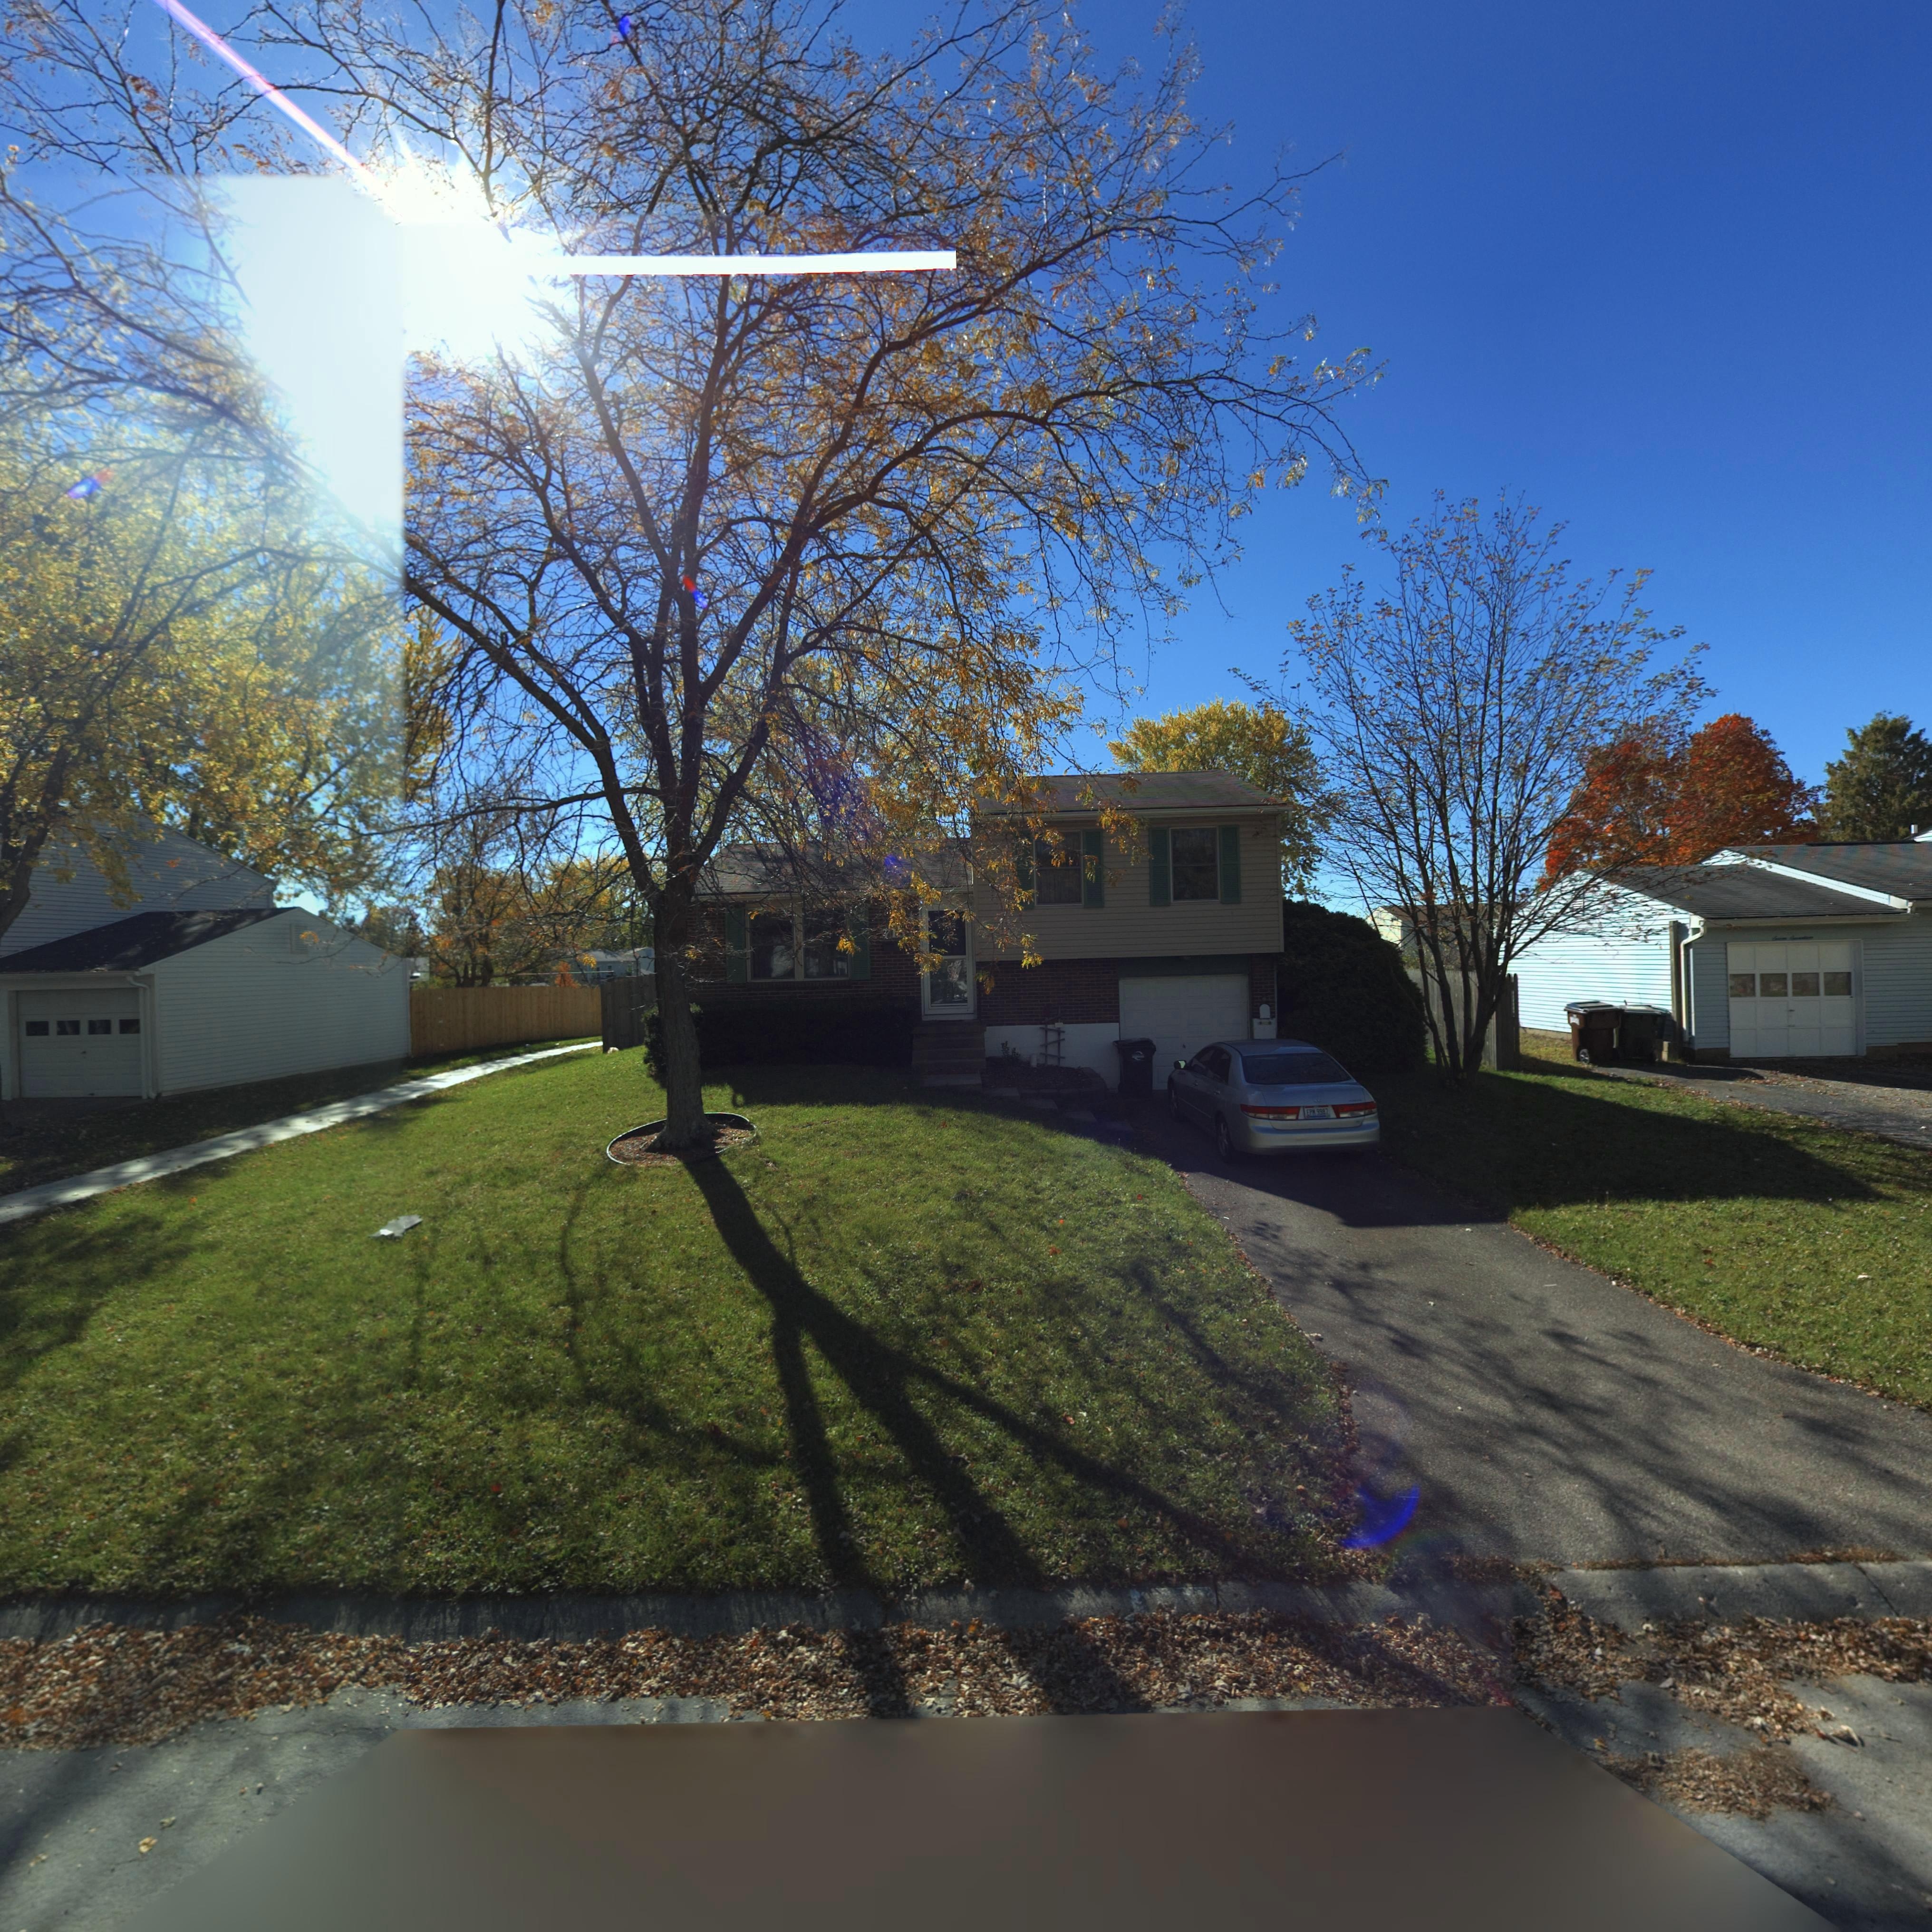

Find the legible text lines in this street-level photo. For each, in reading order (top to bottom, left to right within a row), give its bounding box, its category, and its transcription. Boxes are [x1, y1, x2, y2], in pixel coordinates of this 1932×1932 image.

[882, 928, 897, 938] StreetNumber: 71
[1305, 1108, 1329, 1116] None: EP* 9987